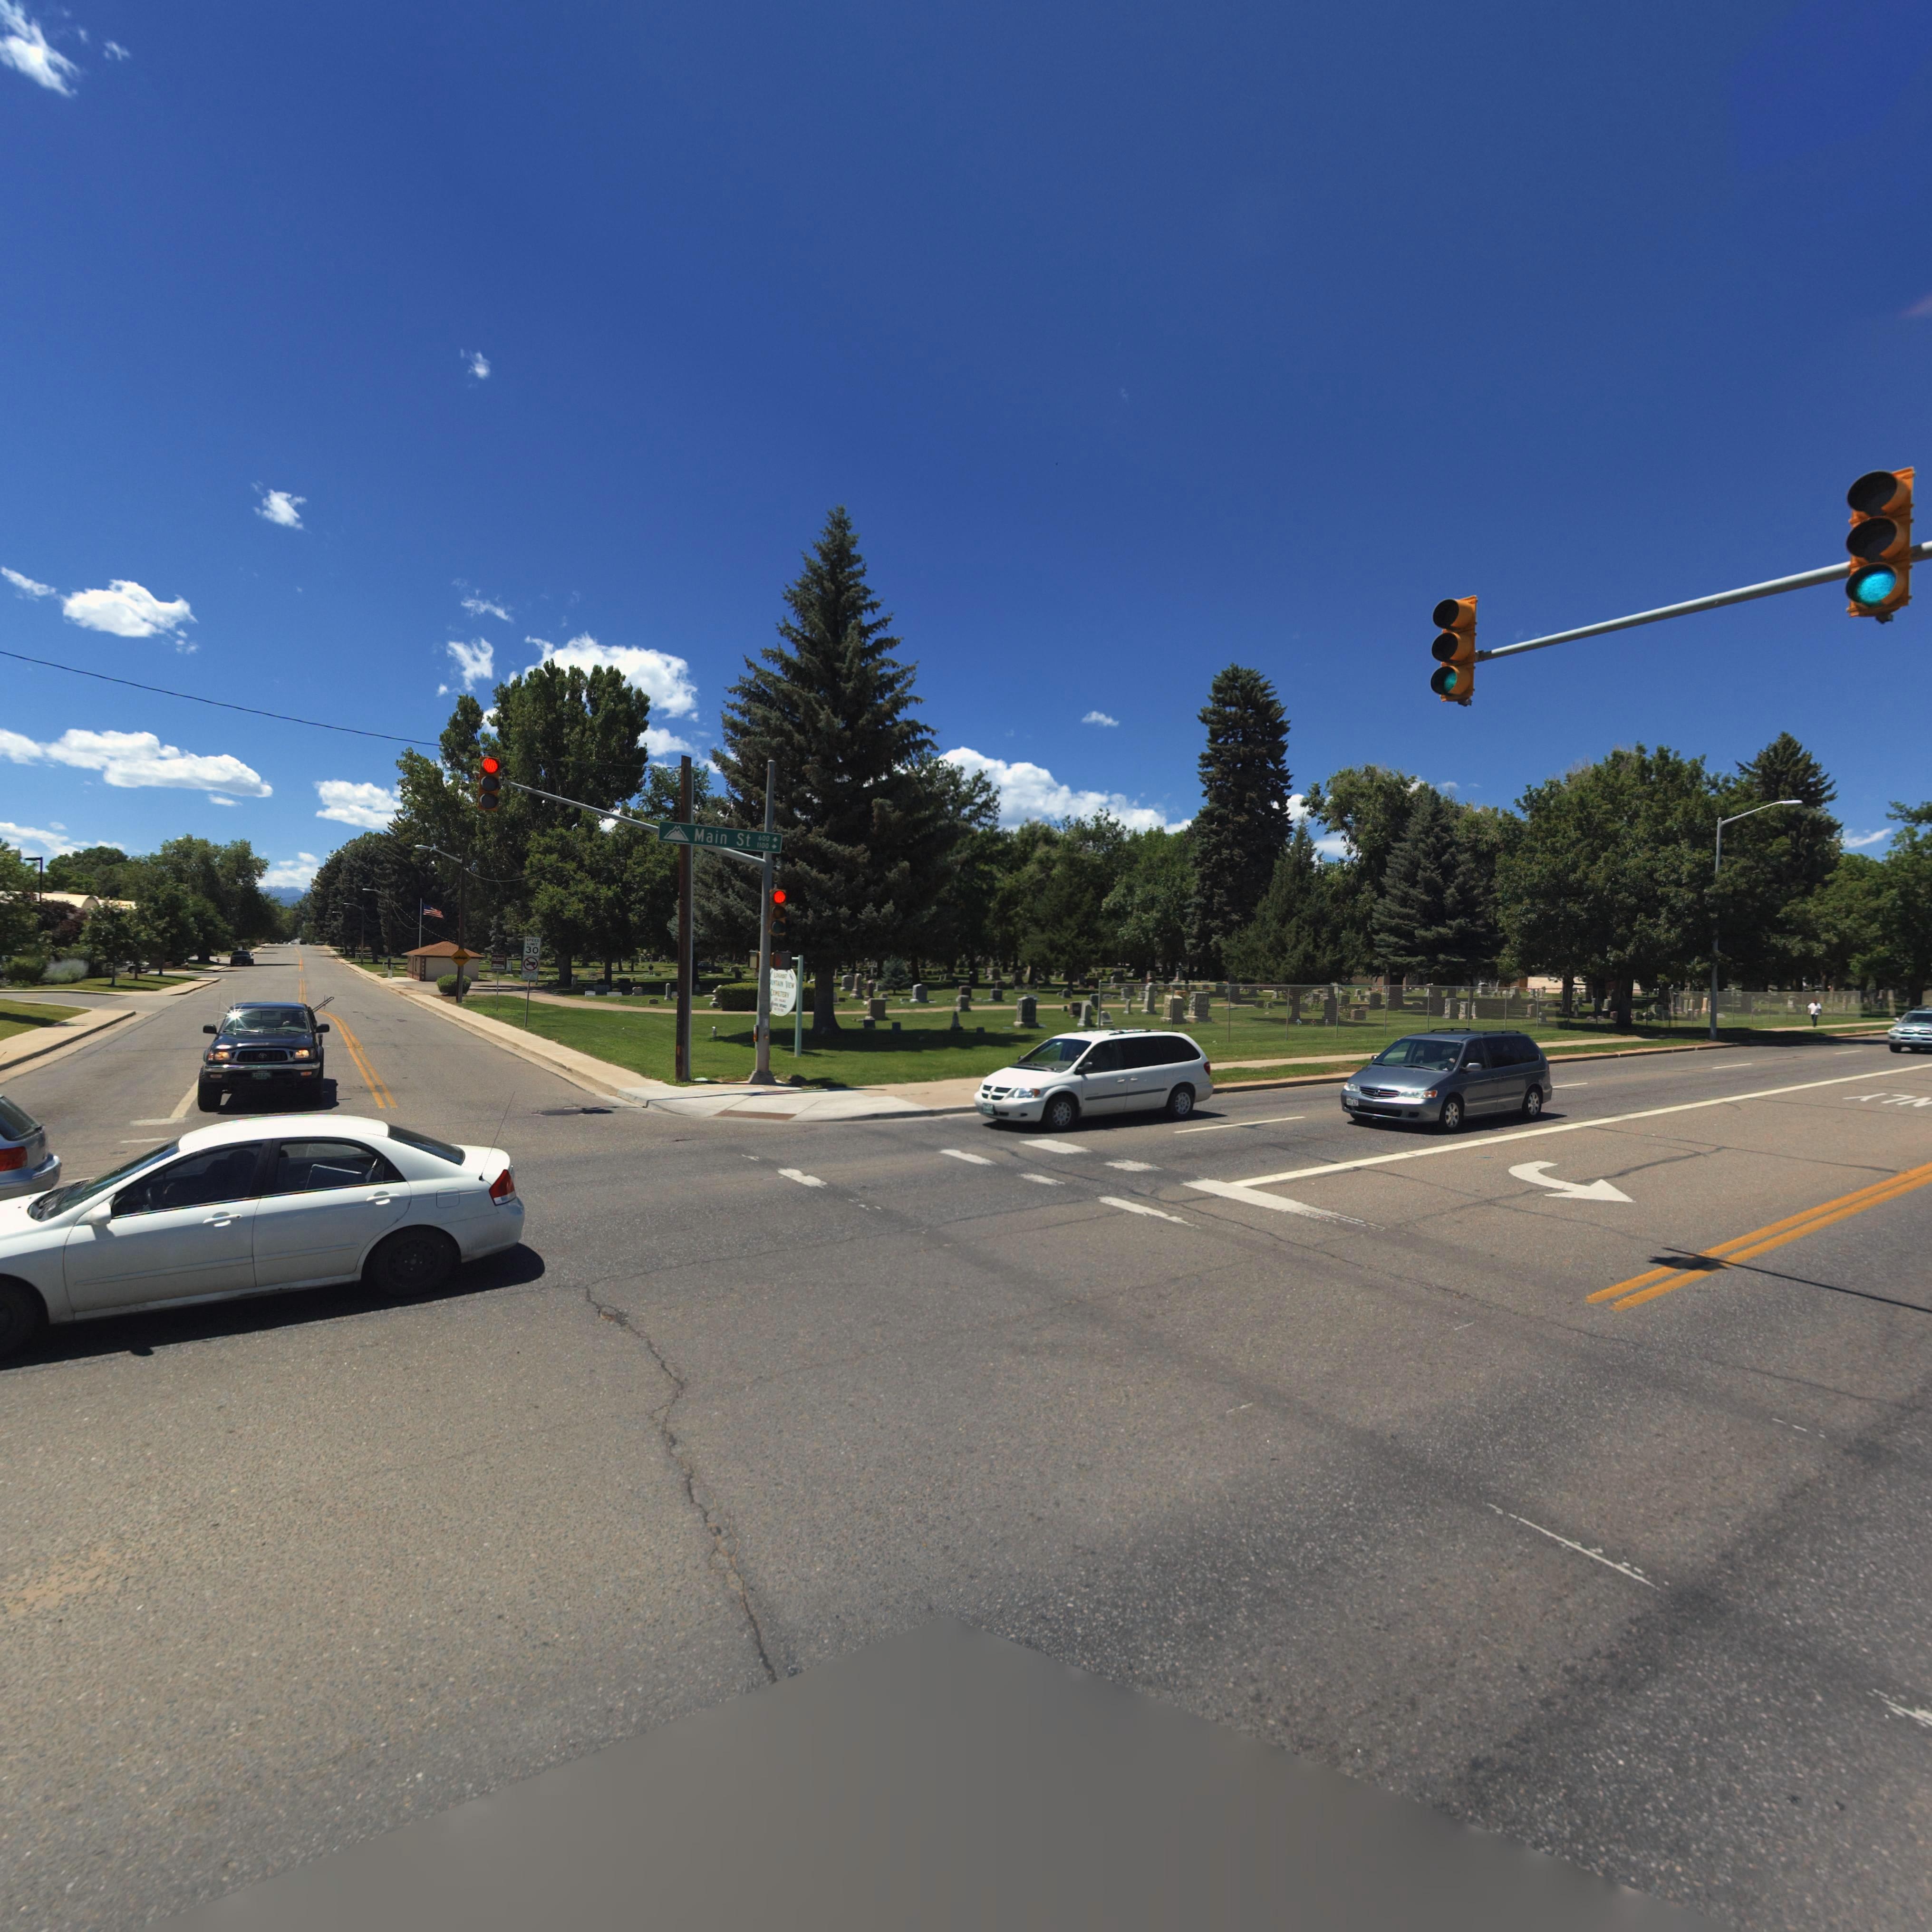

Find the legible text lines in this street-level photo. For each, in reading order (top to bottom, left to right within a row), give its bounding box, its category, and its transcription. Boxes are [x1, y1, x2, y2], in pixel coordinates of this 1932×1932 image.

[693, 827, 752, 847] StreetName: Main St
[757, 834, 770, 841] StreetNumber: 600
[756, 841, 777, 850] StreetNumberRange: 1100 ->
[771, 979, 795, 989] BusinessName: UNTAIN VIEW
[770, 987, 790, 999] BusinessName: CEMETERY